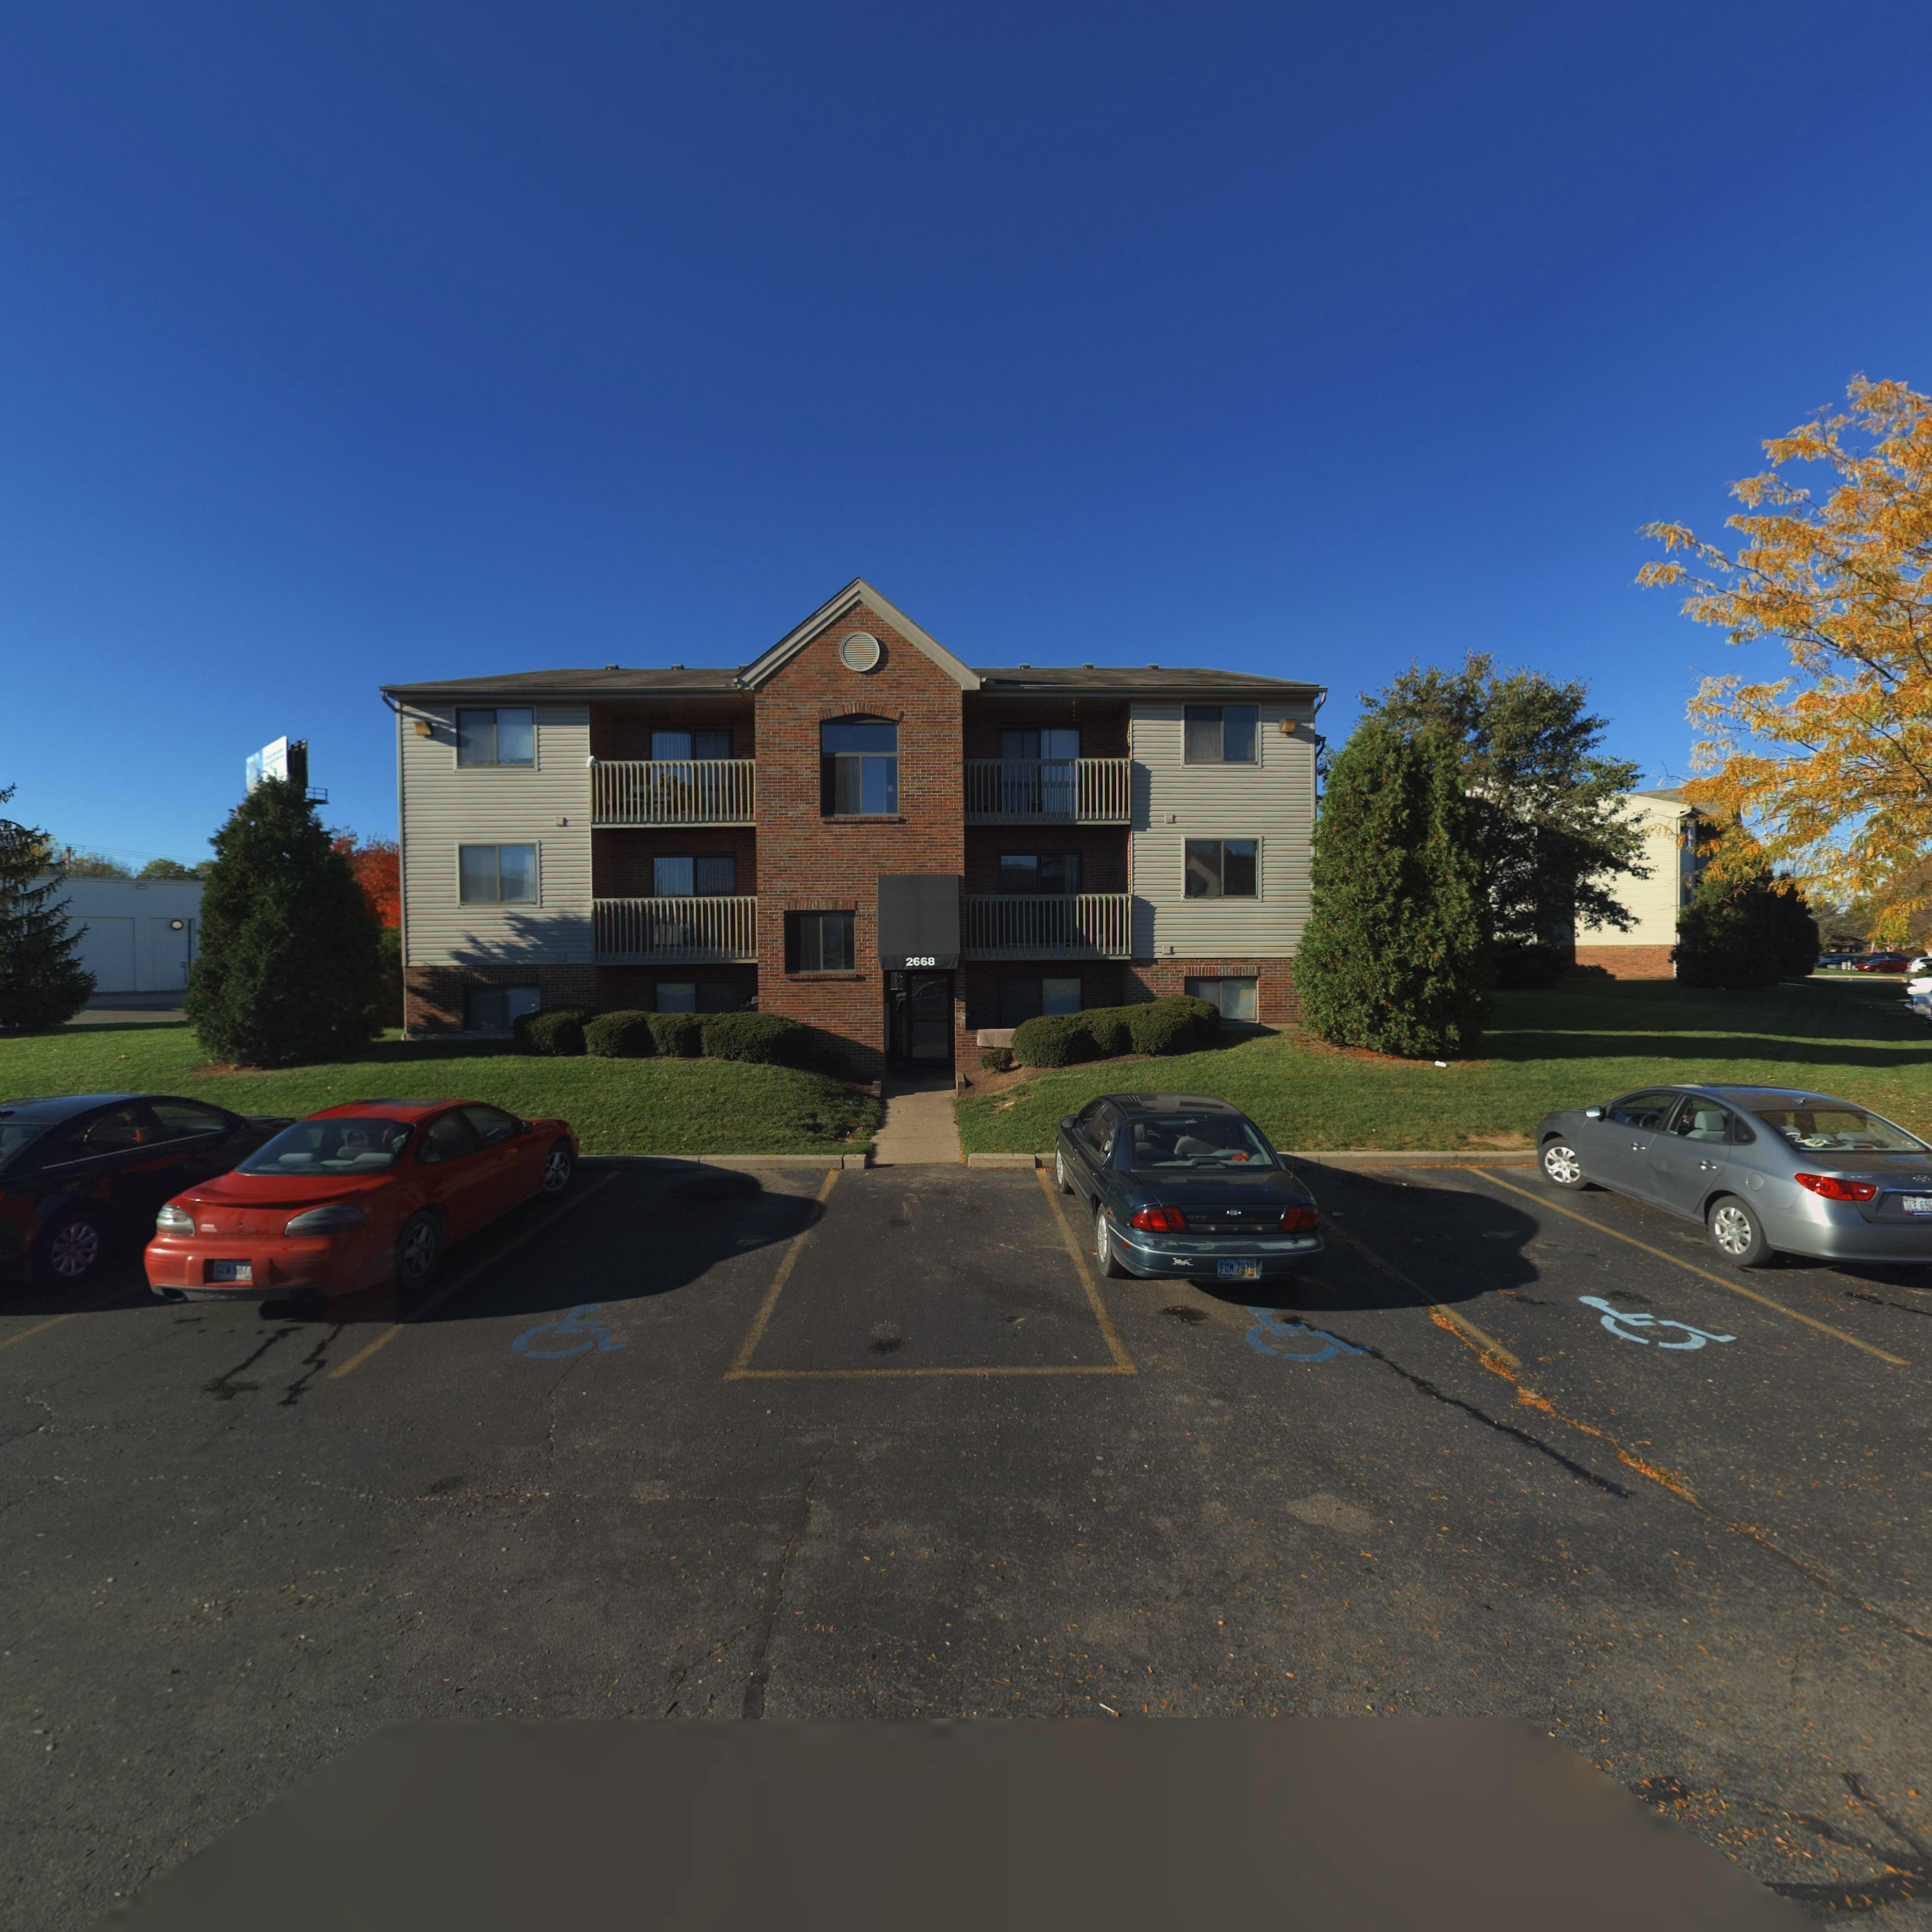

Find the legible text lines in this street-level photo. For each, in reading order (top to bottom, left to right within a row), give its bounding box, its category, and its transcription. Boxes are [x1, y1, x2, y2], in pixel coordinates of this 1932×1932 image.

[905, 956, 936, 966] StreetNumber: 2668